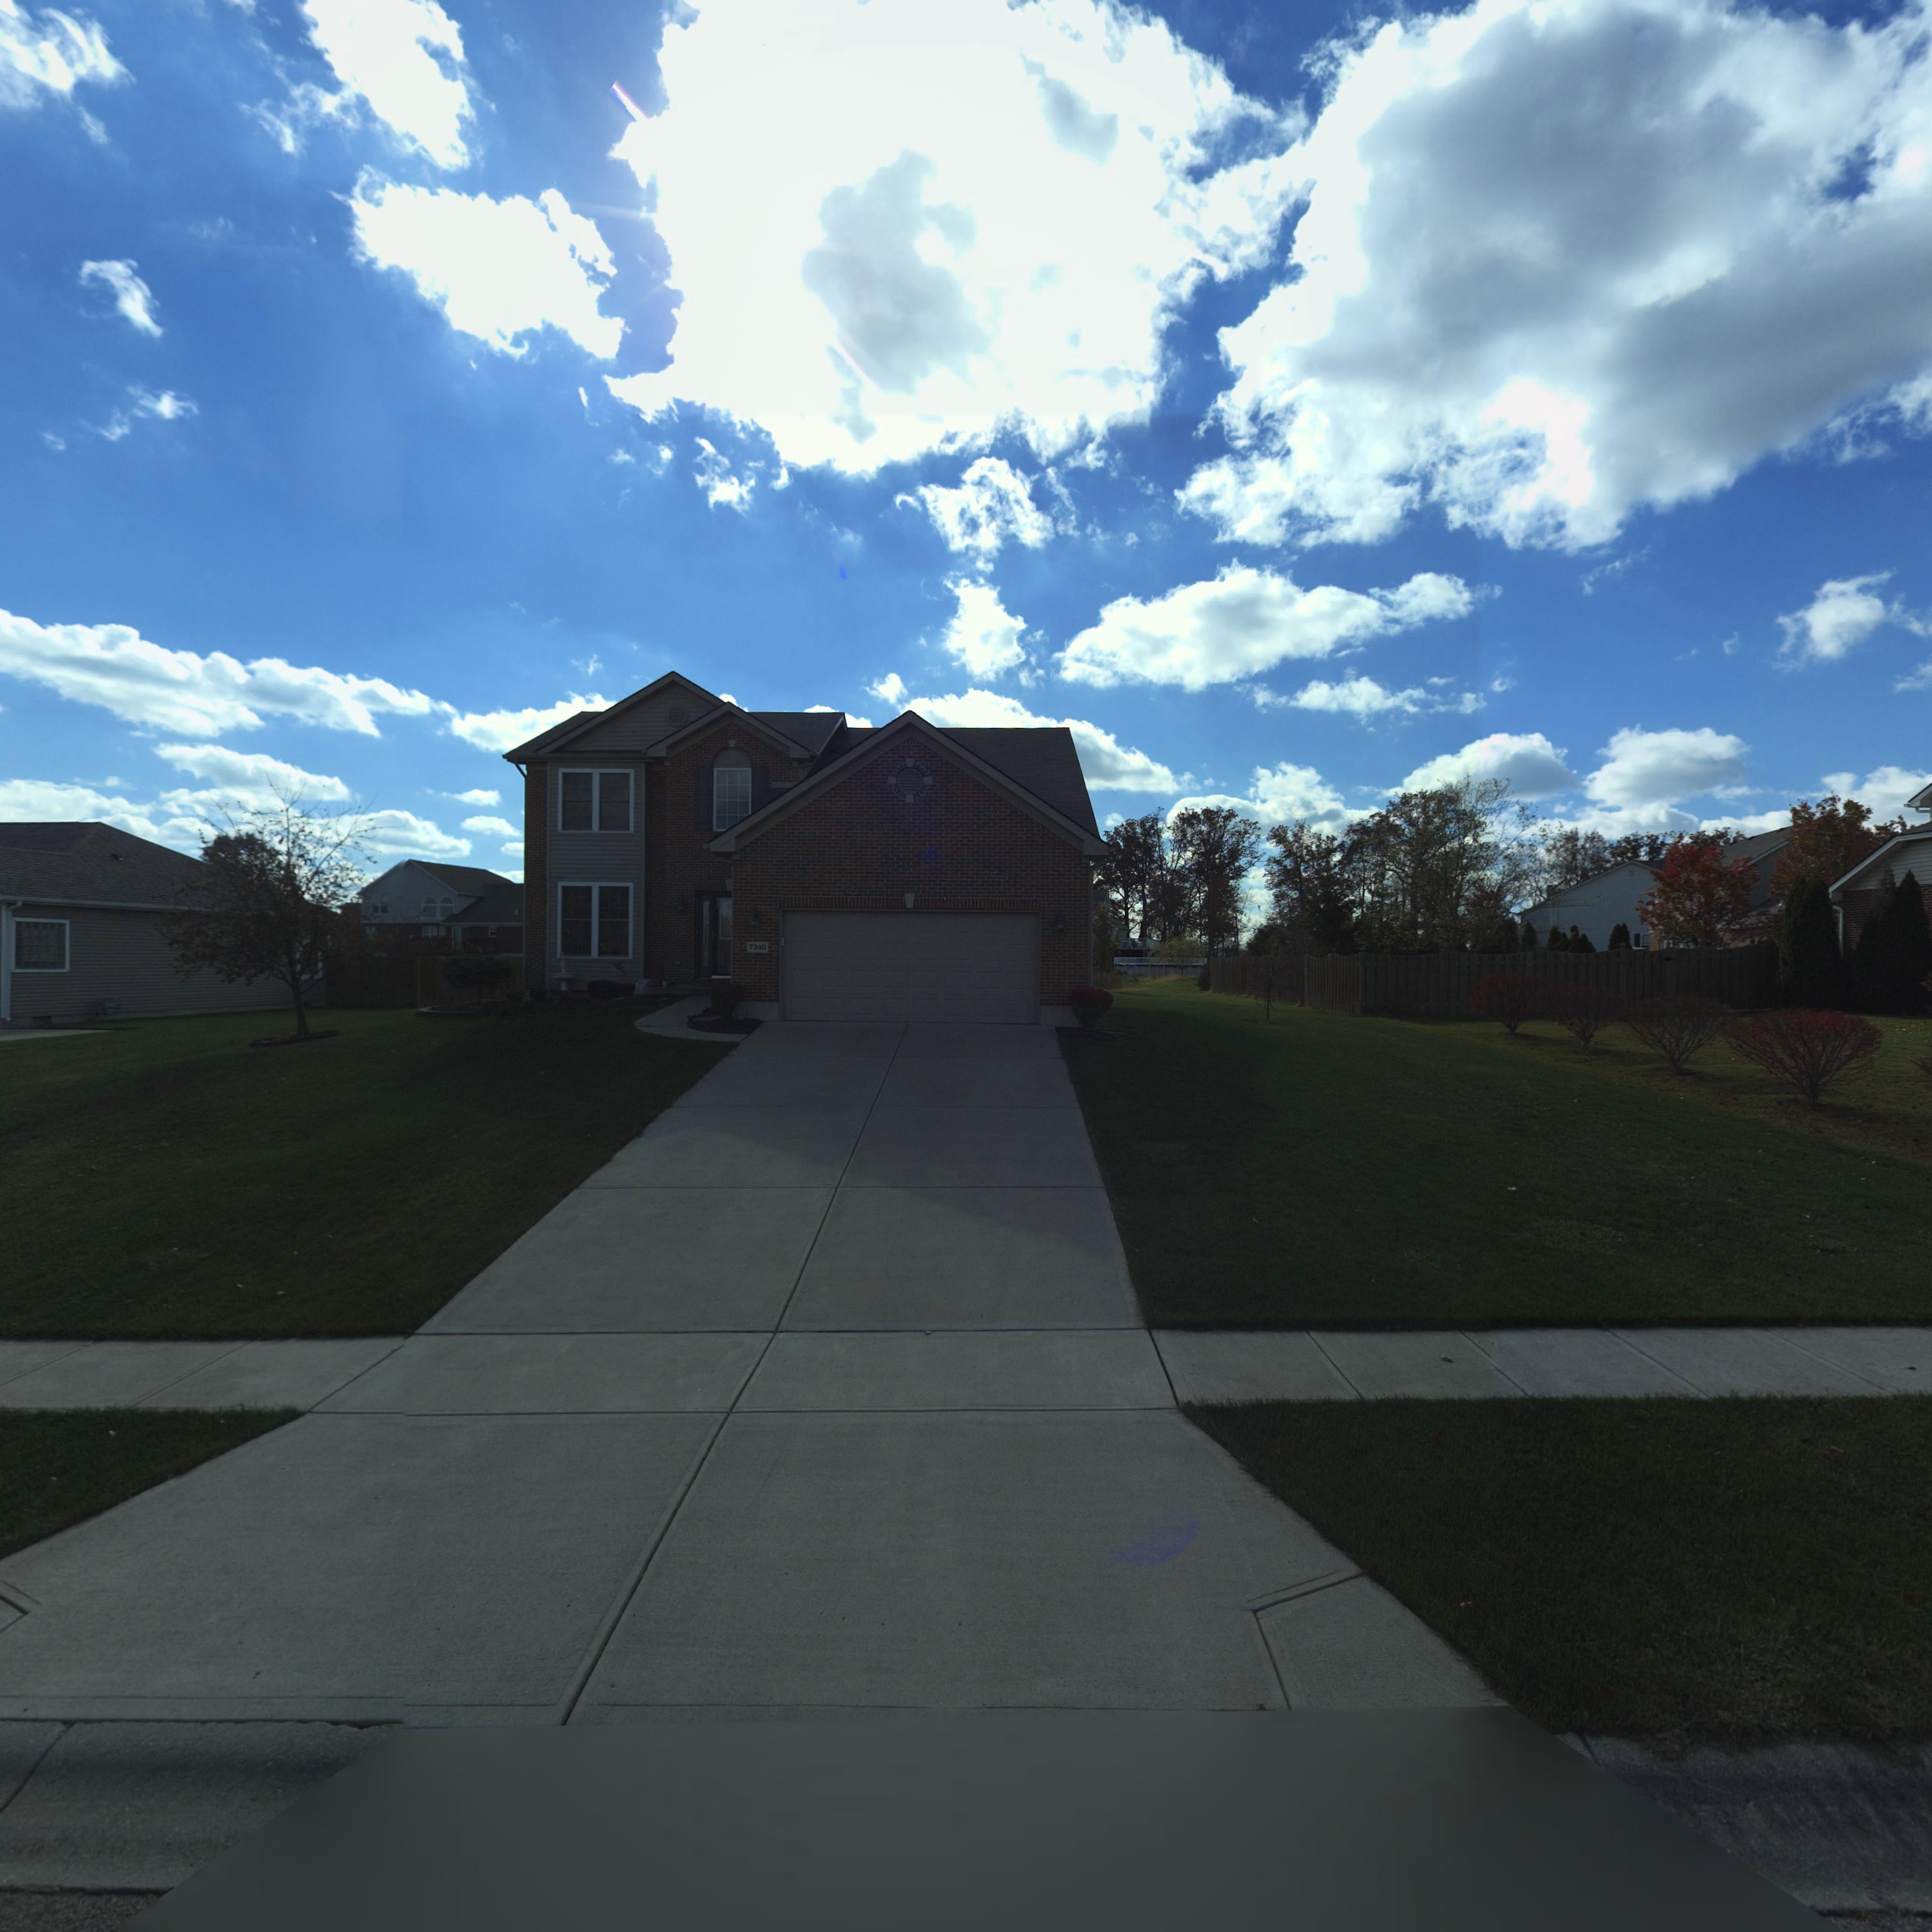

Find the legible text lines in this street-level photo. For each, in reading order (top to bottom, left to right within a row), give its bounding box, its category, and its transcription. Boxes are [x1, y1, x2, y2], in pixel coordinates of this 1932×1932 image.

[748, 943, 766, 951] StreetNumber: 7340